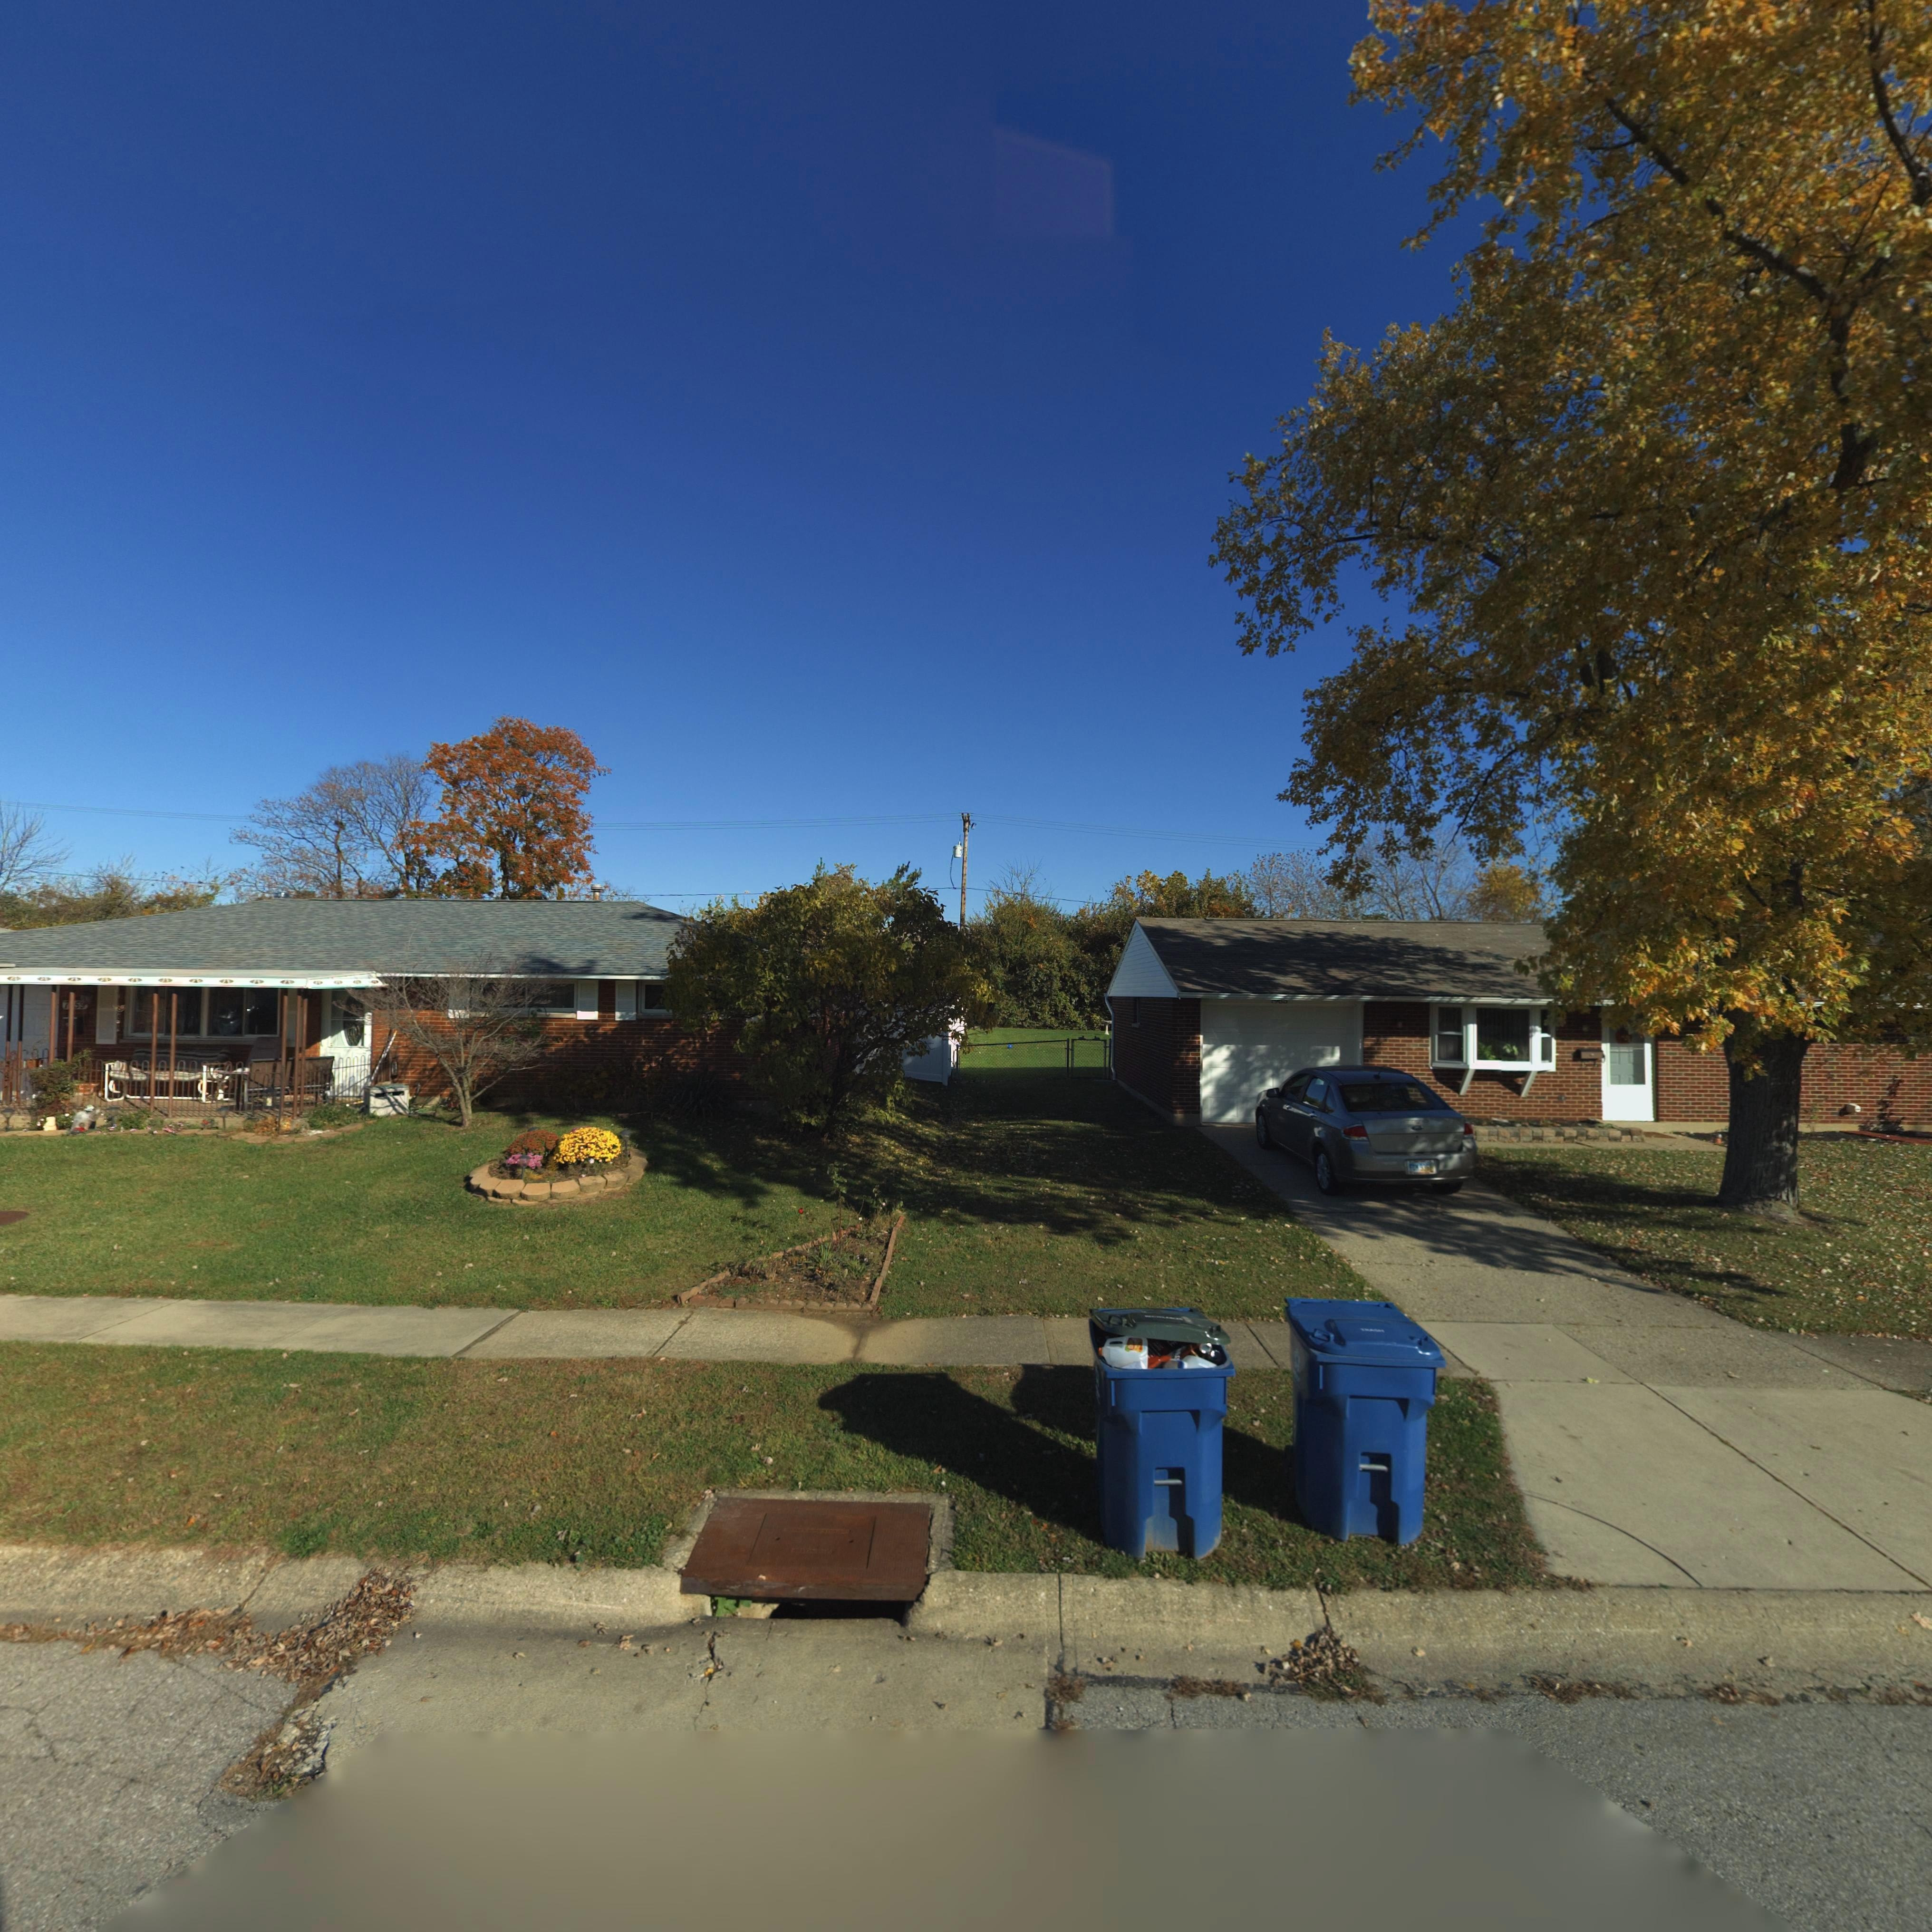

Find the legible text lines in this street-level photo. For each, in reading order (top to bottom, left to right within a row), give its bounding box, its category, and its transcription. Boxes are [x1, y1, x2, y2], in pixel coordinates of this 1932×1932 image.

[63, 1000, 86, 1009] StreetNumber: 7*5*